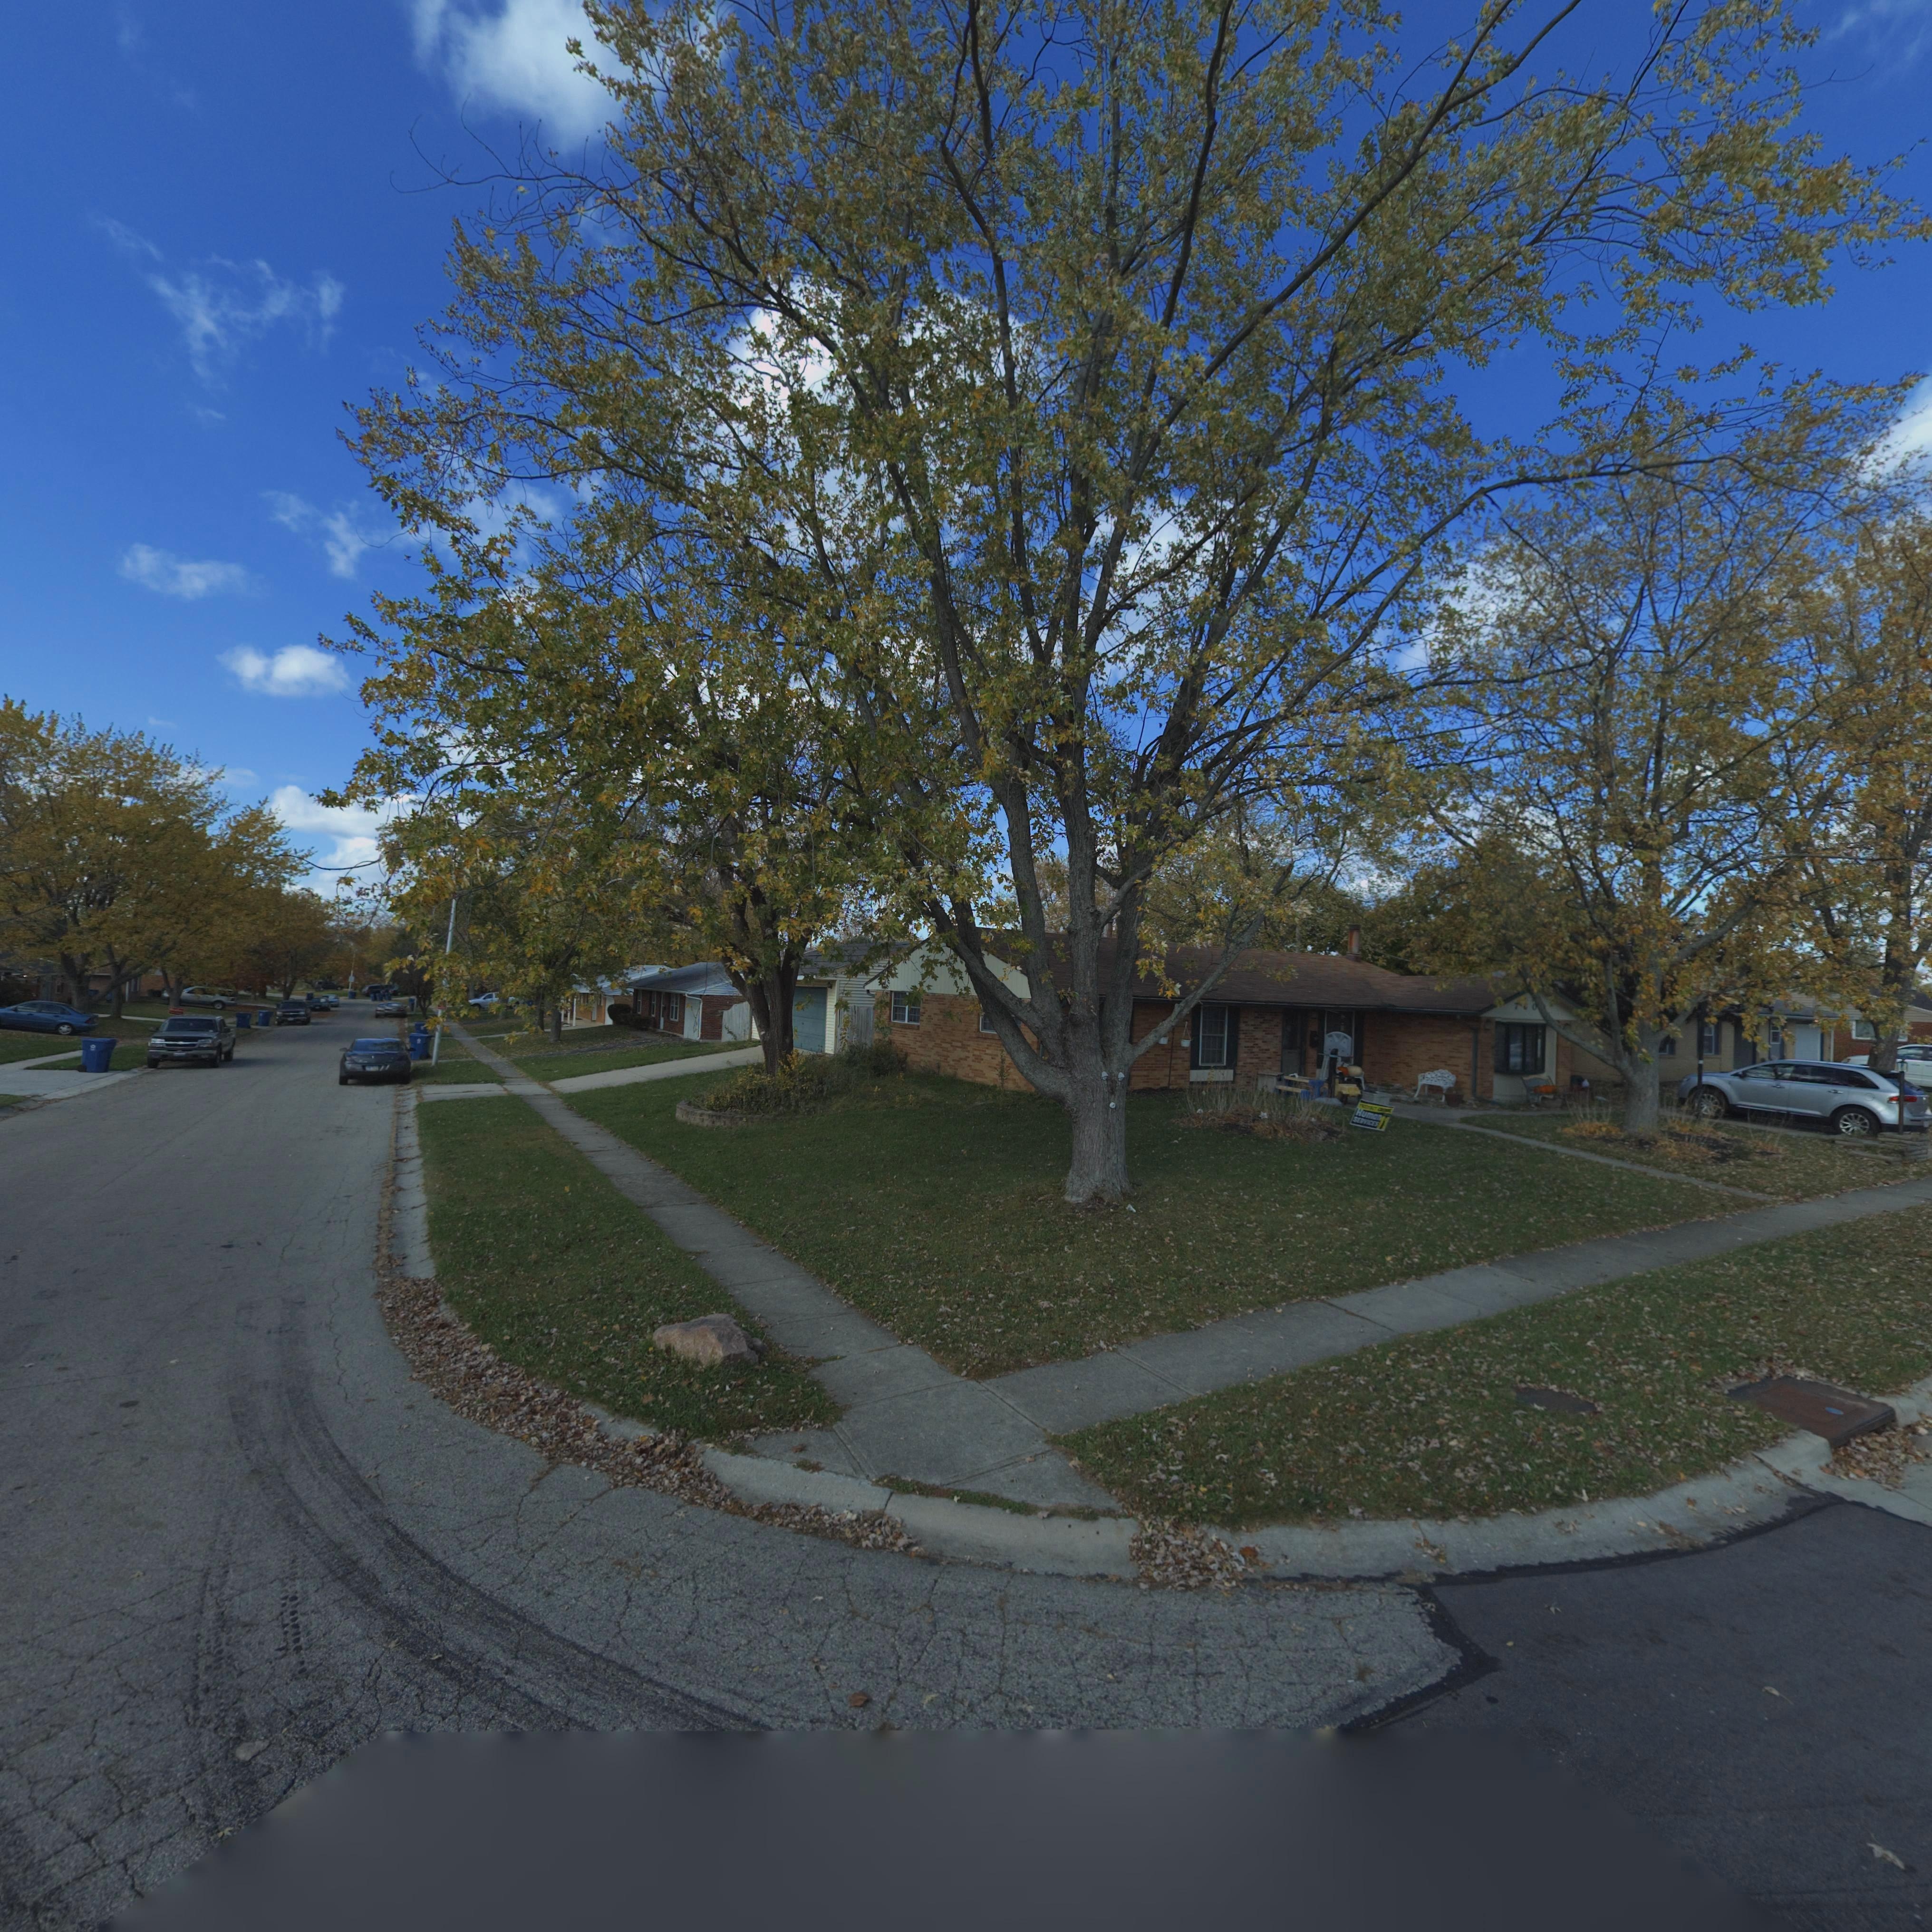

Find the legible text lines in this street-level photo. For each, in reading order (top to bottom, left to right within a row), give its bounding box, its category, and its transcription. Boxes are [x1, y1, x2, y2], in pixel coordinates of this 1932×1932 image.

[1513, 1002, 1538, 1011] StreetNumber: 7*0